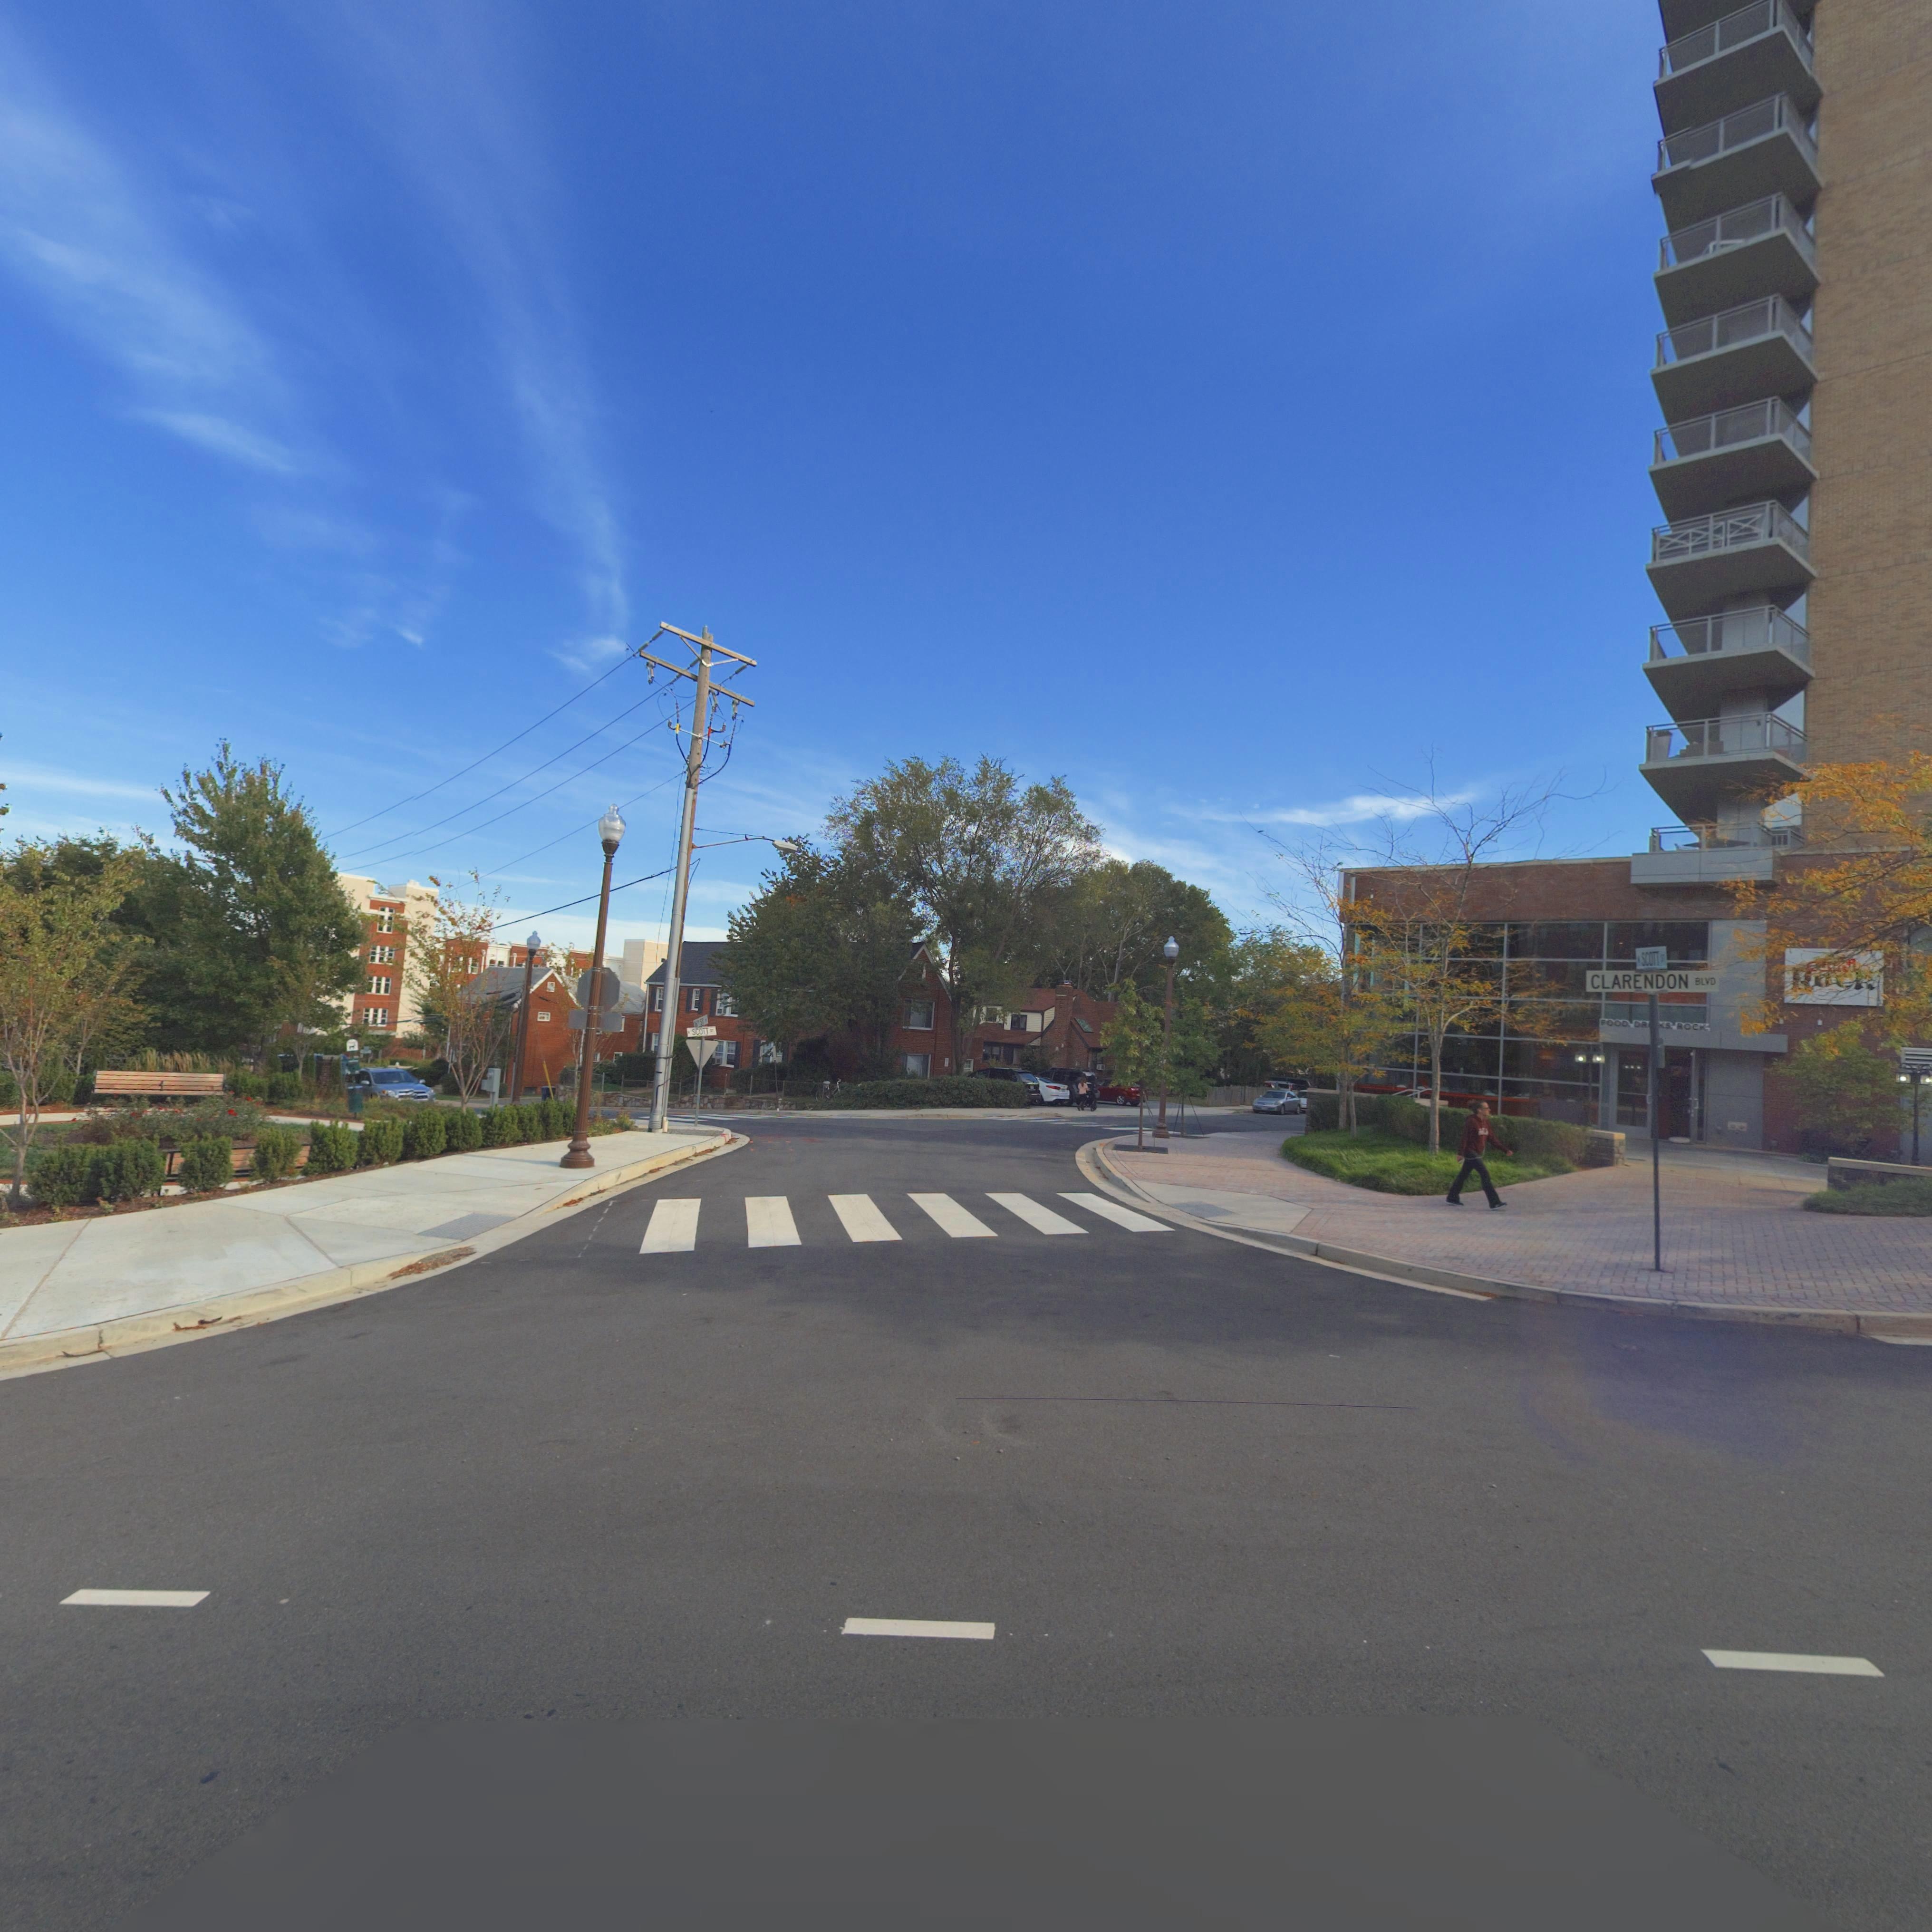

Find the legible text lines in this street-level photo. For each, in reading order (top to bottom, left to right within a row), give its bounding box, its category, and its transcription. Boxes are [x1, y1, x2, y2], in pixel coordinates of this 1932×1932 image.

[1640, 949, 1661, 968] StreetName: SCOTT
[1589, 971, 1718, 991] StreetName: CLARENDON BLVD
[698, 1016, 705, 1026] StreetName: ST
[690, 1026, 715, 1037] StreetName: SCOTT ST
[1599, 1018, 1648, 1029] None: FOOD DR
[1664, 1021, 1708, 1032] None: S ROCK